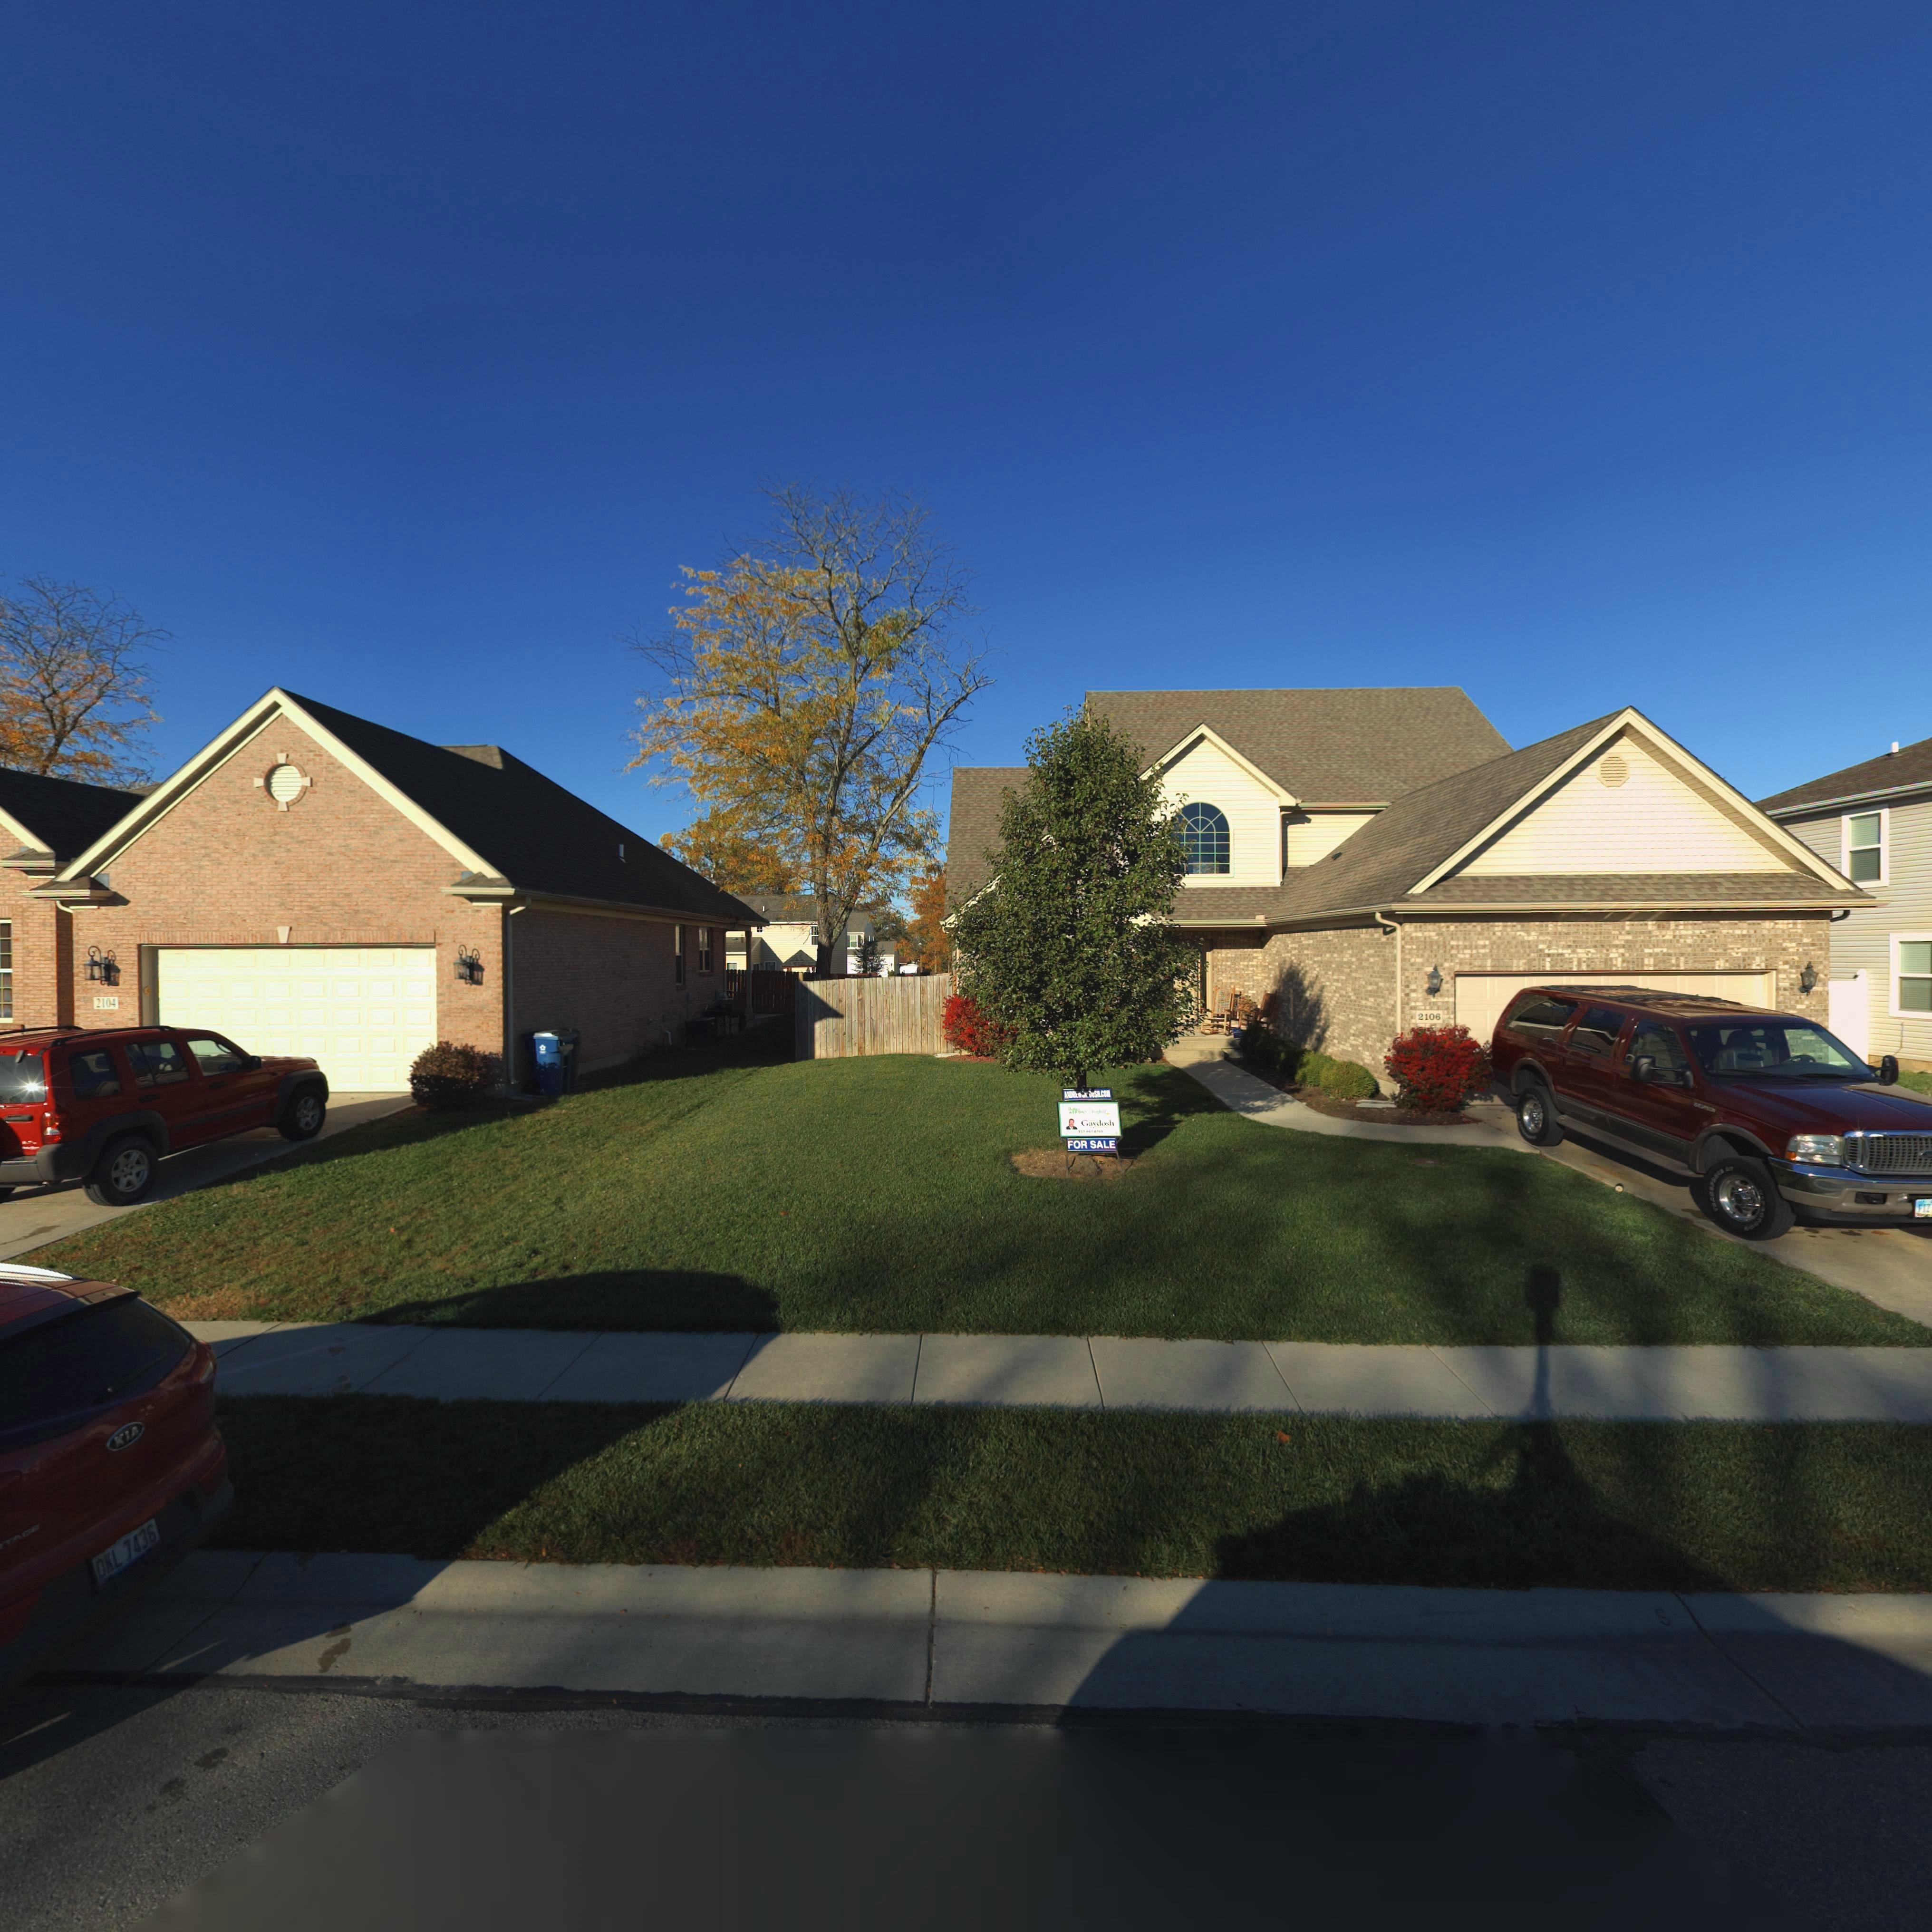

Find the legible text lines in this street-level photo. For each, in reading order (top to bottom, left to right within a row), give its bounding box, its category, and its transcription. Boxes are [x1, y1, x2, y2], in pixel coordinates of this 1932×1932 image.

[95, 997, 116, 1008] StreetNumber: 2104
[1417, 1013, 1441, 1021] StreetNumber: 2106